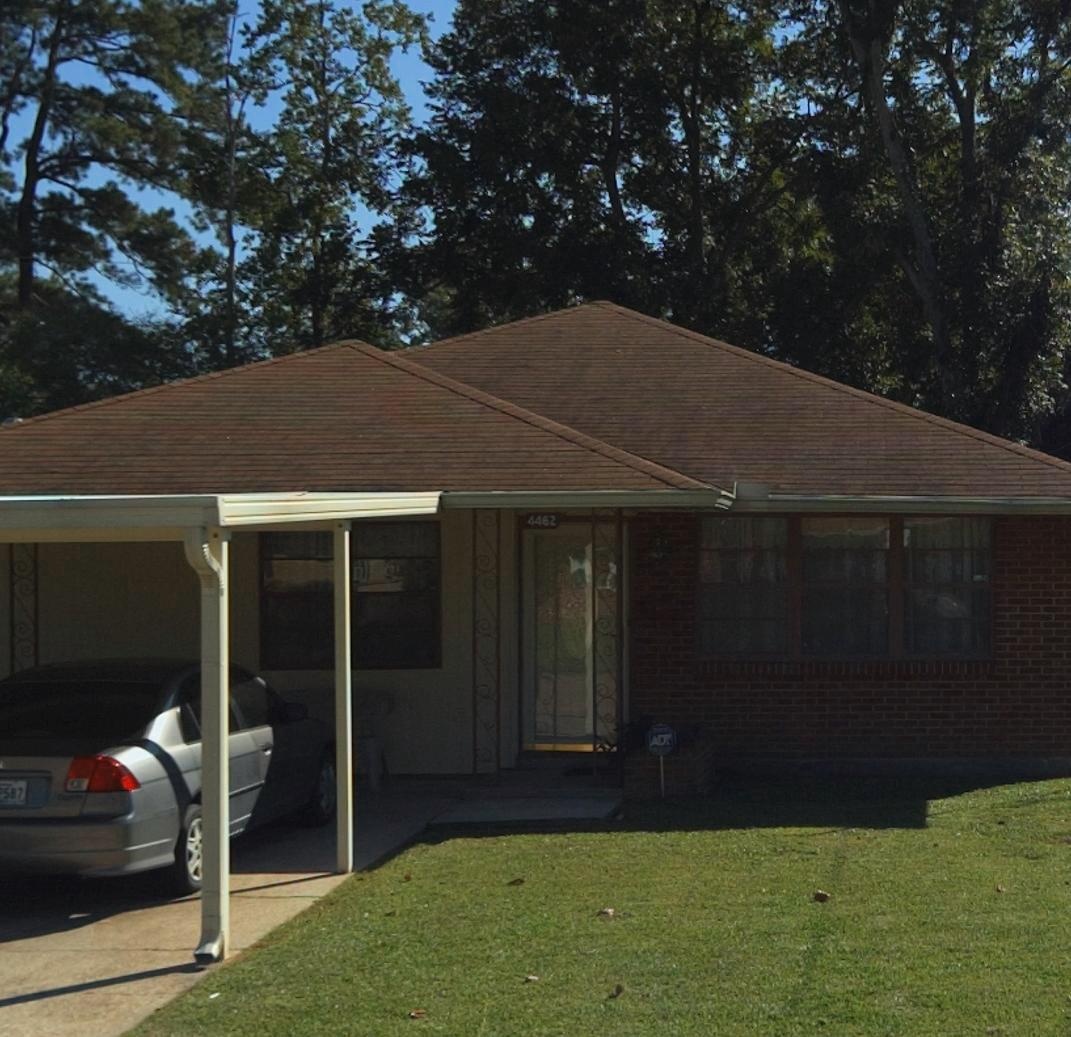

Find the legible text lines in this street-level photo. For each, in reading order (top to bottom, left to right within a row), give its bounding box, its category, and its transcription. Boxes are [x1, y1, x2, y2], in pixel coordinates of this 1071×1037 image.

[526, 515, 557, 527] StreetNumber: 4462
[649, 733, 674, 746] None: ADT
[1, 786, 26, 800] None: 5*7